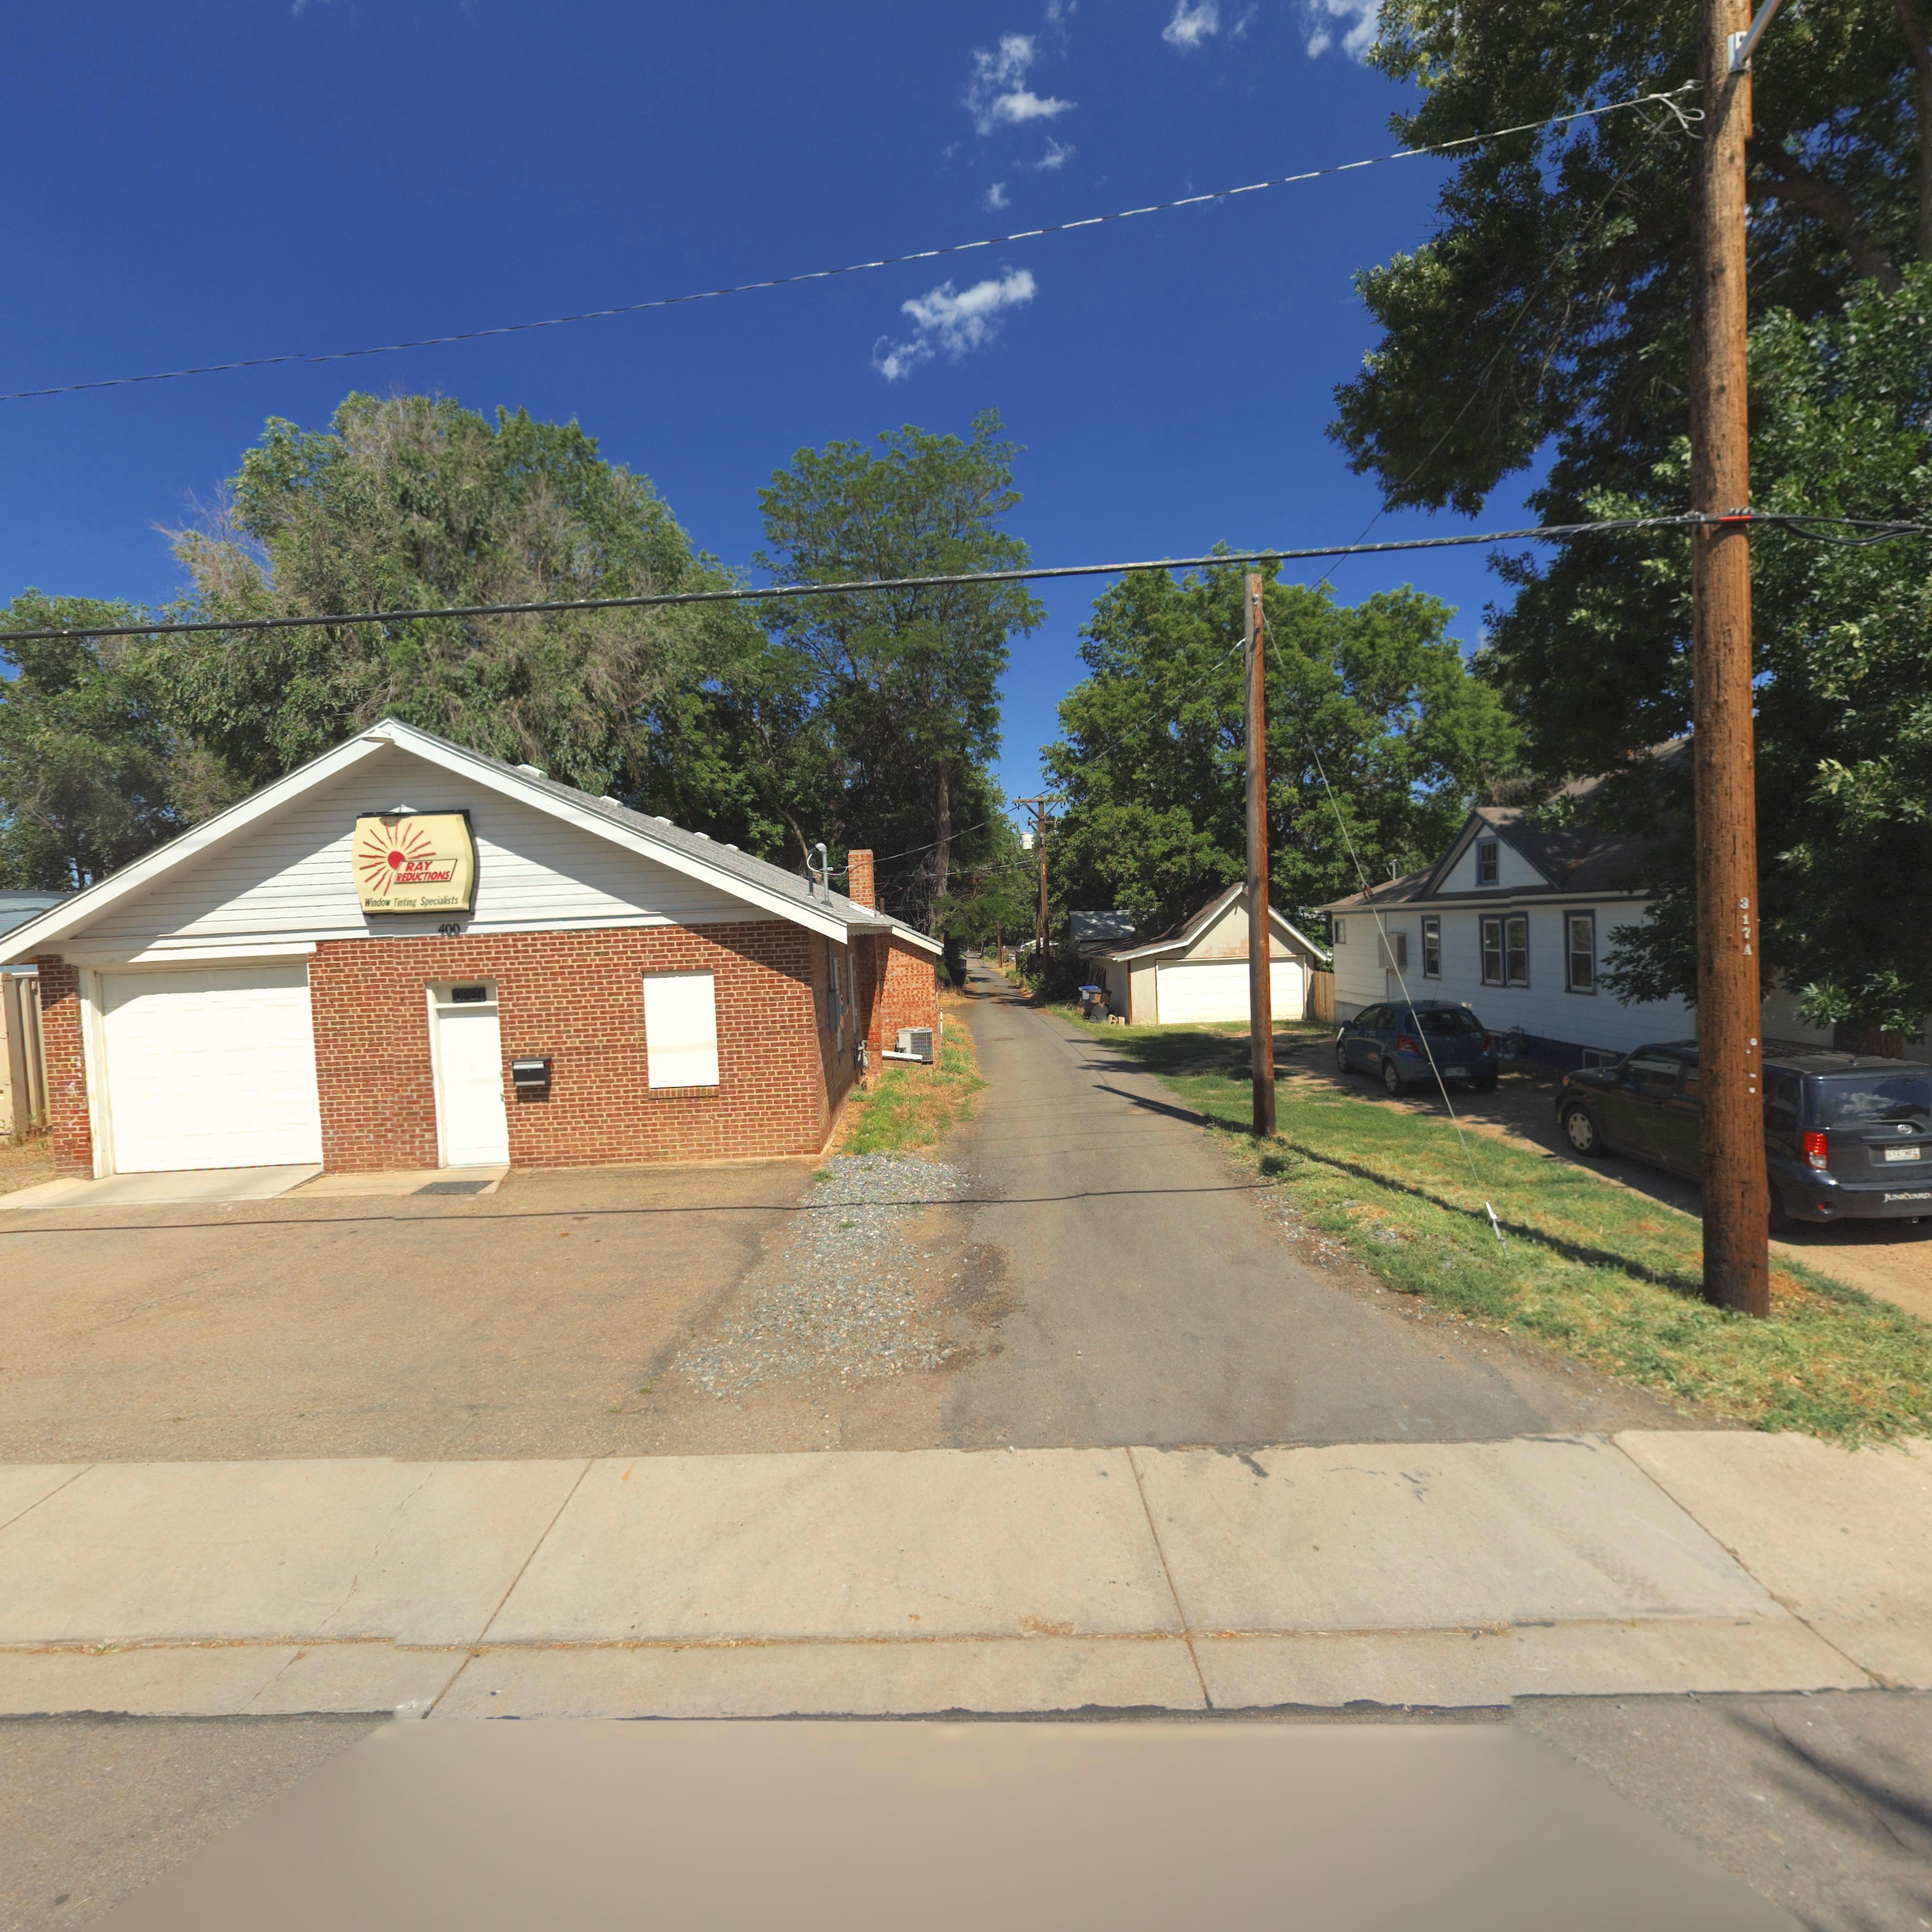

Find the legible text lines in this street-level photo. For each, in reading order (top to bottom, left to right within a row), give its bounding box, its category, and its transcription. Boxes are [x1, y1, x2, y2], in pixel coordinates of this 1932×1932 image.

[404, 860, 434, 871] BusinessName: RAY
[395, 870, 451, 882] BusinessName: REDUCTIONS
[438, 922, 461, 937] StreetNumber: 400